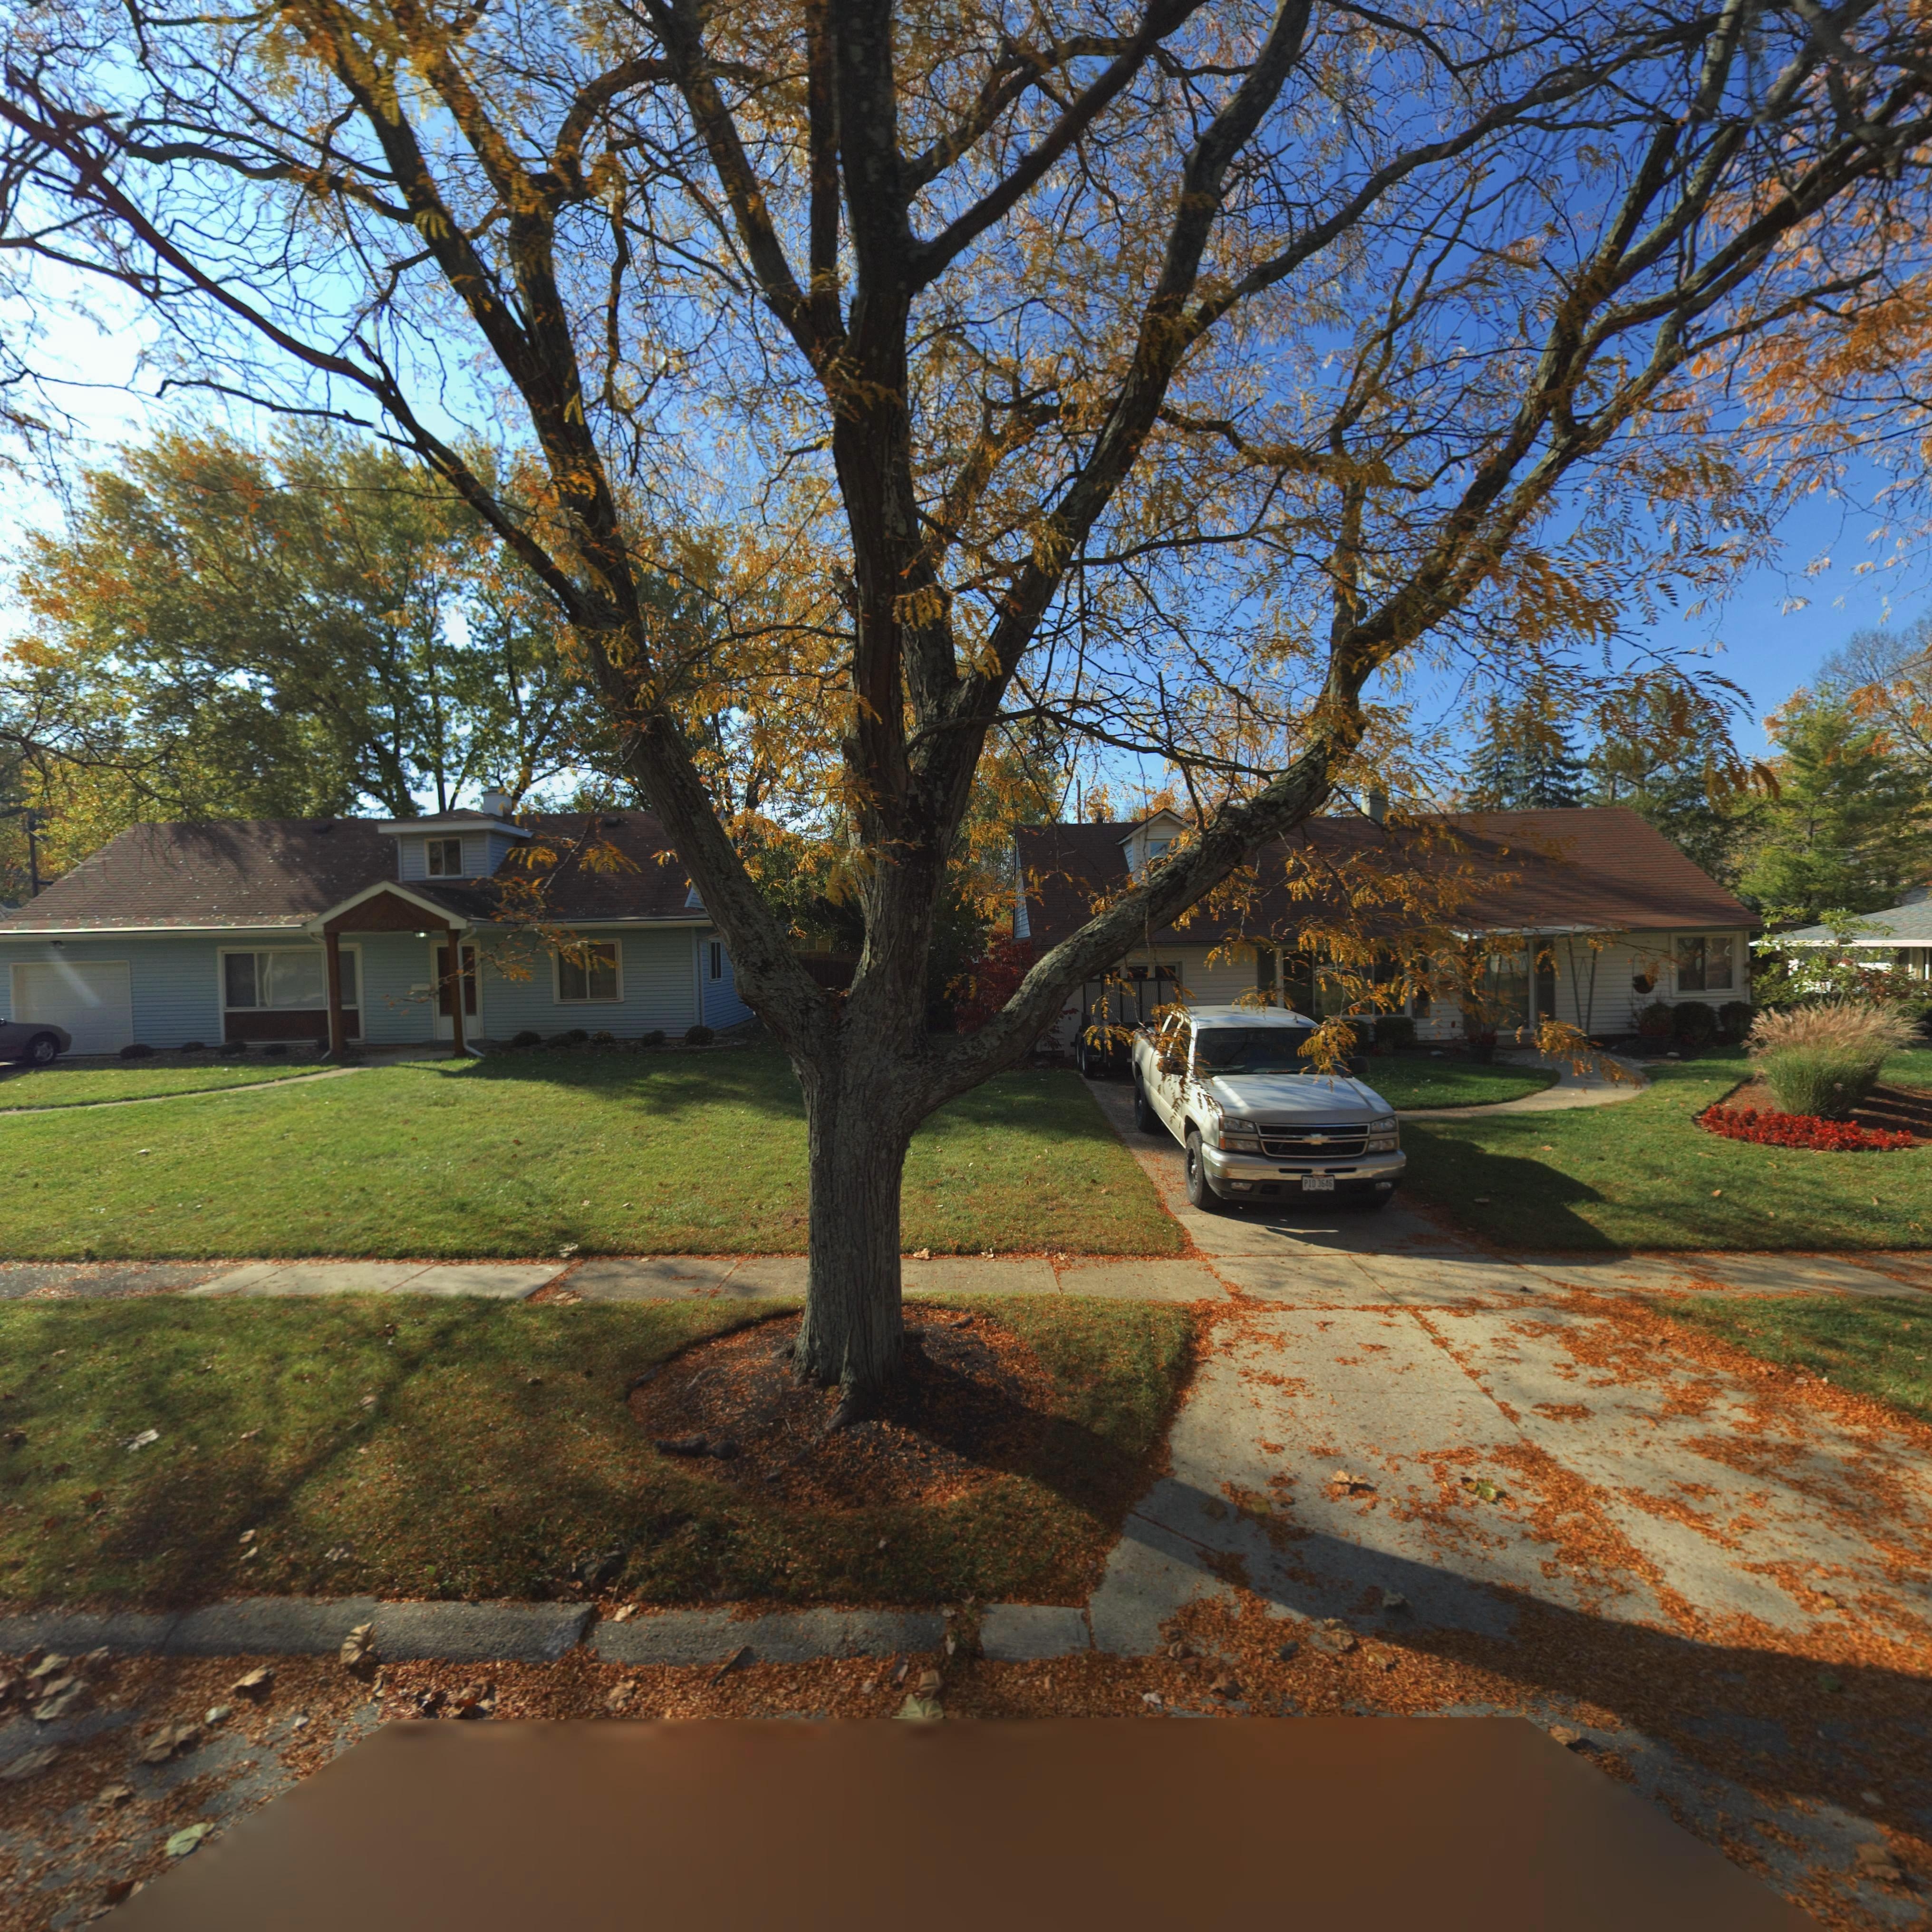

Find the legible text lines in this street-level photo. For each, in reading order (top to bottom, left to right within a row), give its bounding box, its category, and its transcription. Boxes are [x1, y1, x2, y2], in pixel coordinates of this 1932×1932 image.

[1304, 1179, 1333, 1188] None: PID*3646